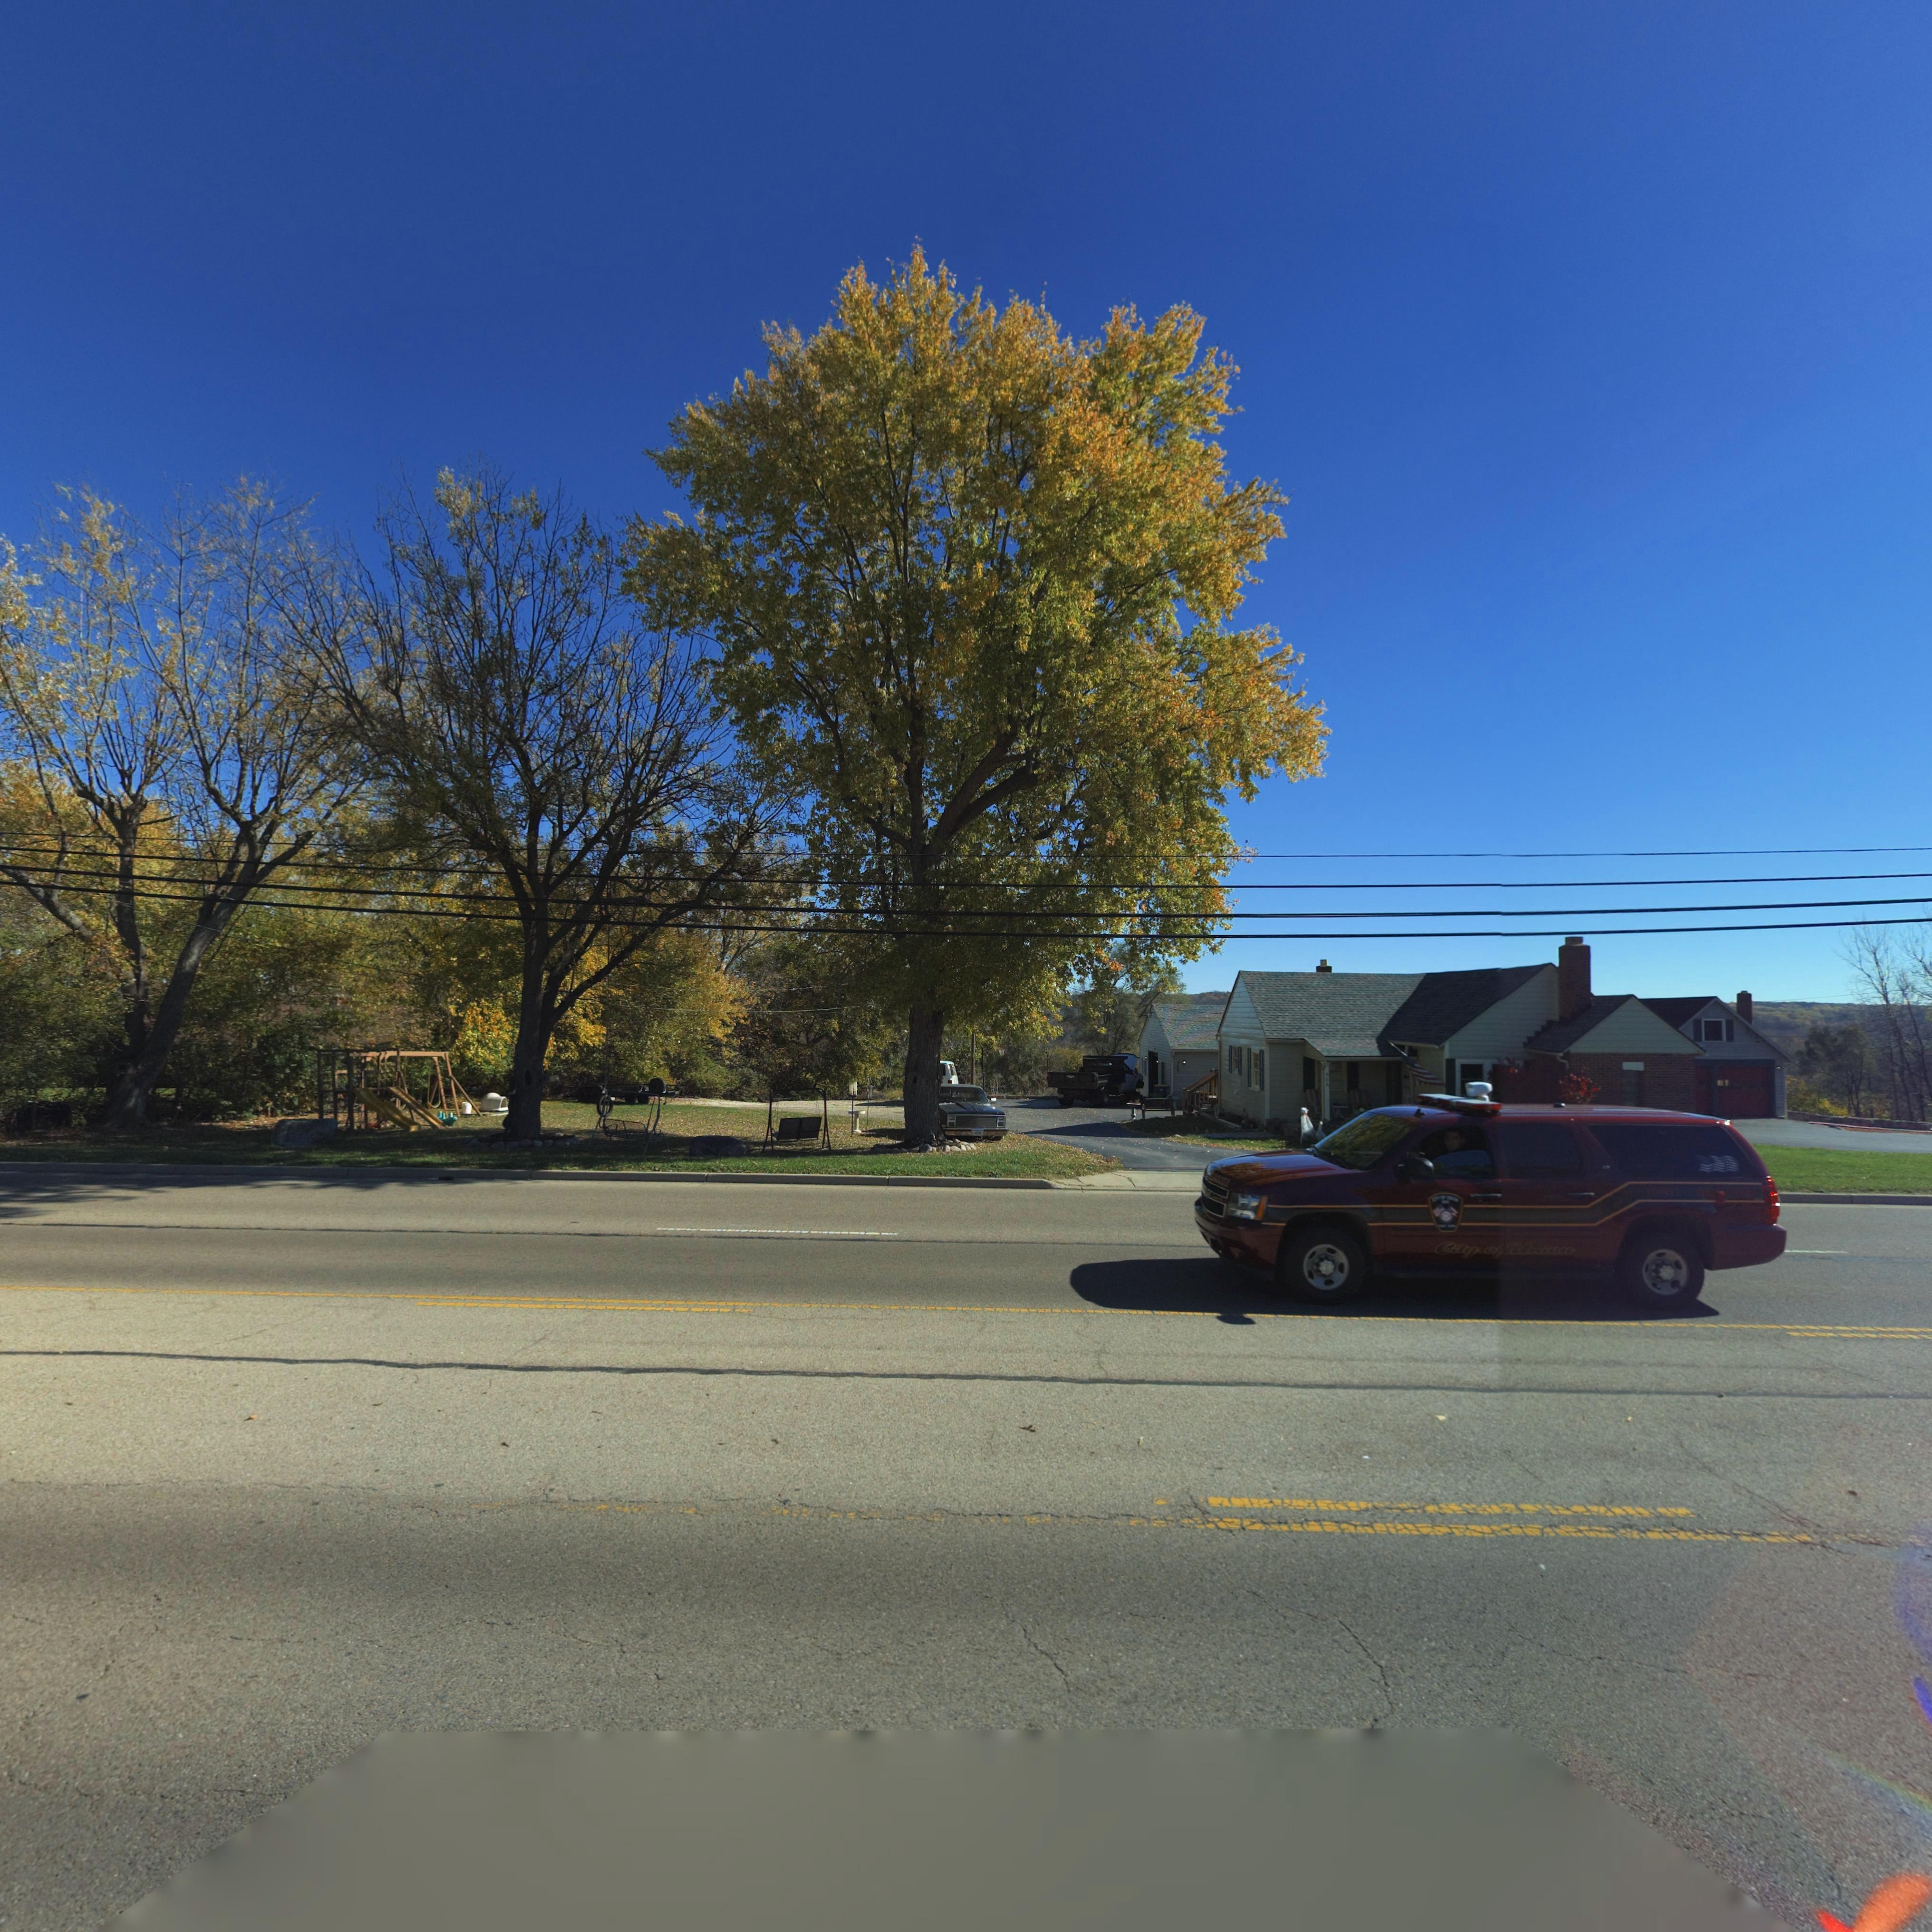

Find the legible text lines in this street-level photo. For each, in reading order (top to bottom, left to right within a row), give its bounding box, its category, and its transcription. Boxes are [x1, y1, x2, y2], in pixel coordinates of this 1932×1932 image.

[1325, 1071, 1329, 1087] StreetNumber: 6*6
[1432, 1240, 1579, 1261] None: City of Union